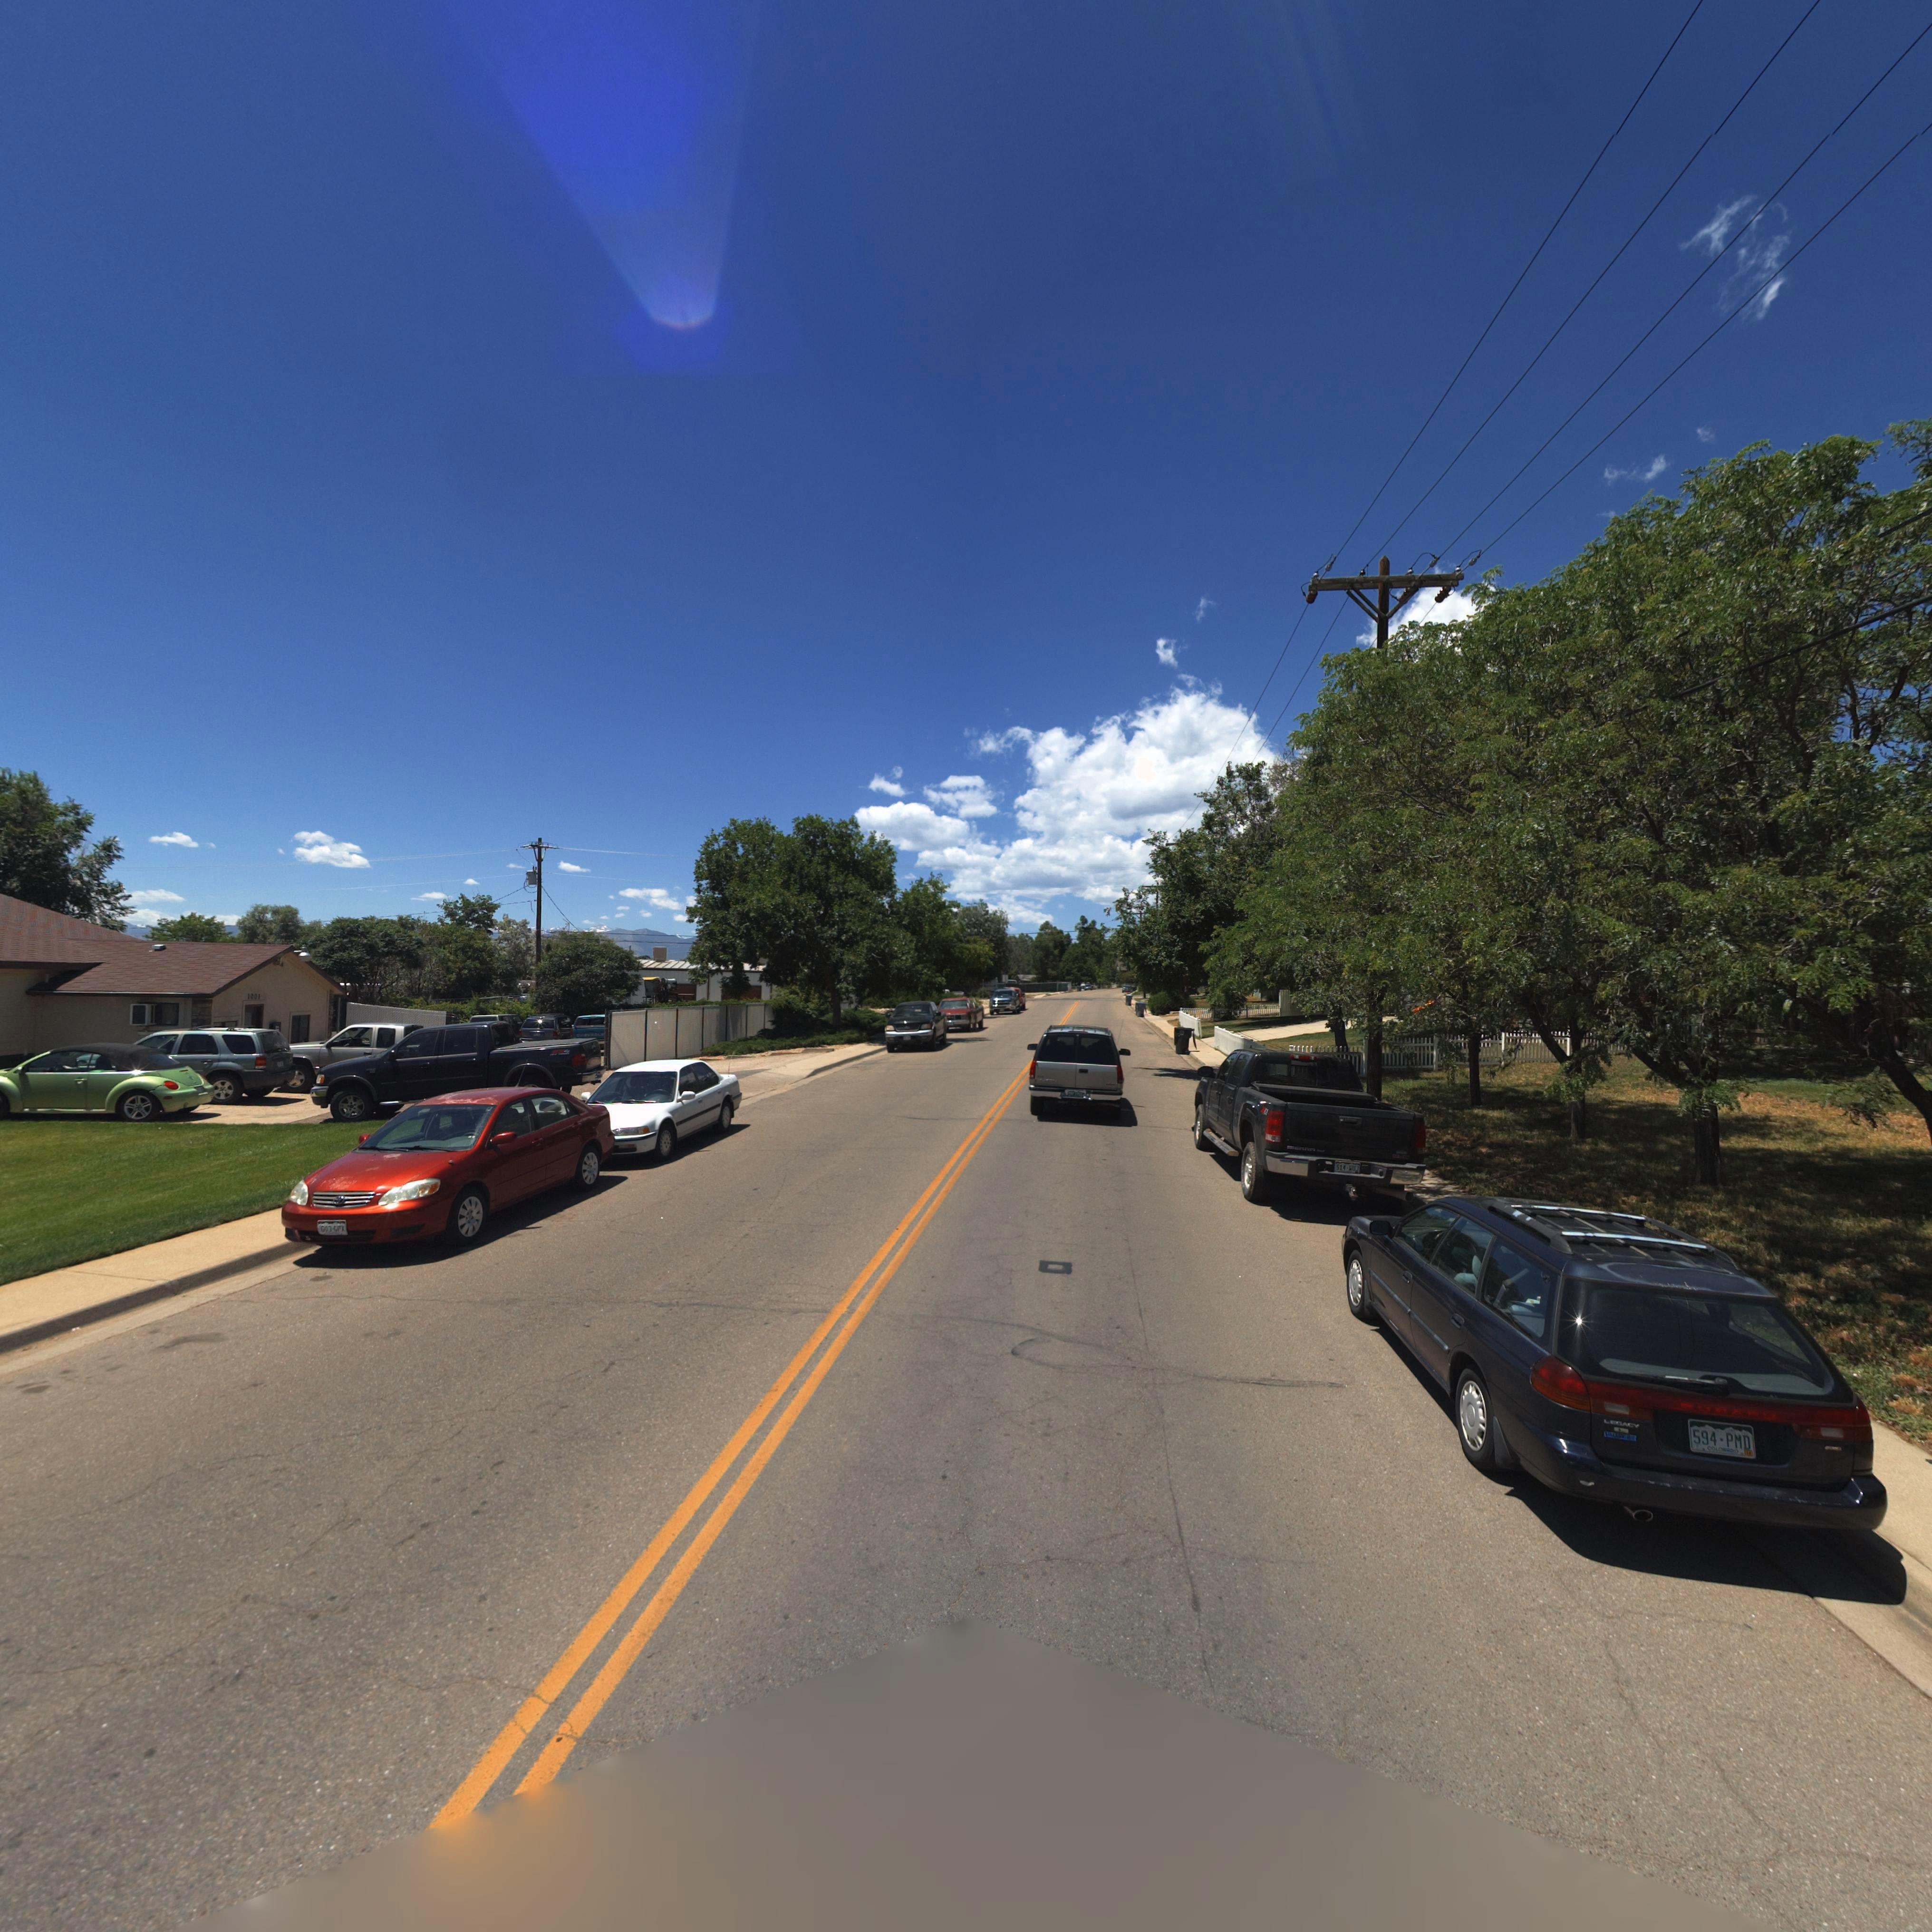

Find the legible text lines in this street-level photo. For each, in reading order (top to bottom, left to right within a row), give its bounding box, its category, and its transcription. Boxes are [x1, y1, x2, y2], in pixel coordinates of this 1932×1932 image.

[247, 993, 261, 999] StreetNumber: 1001